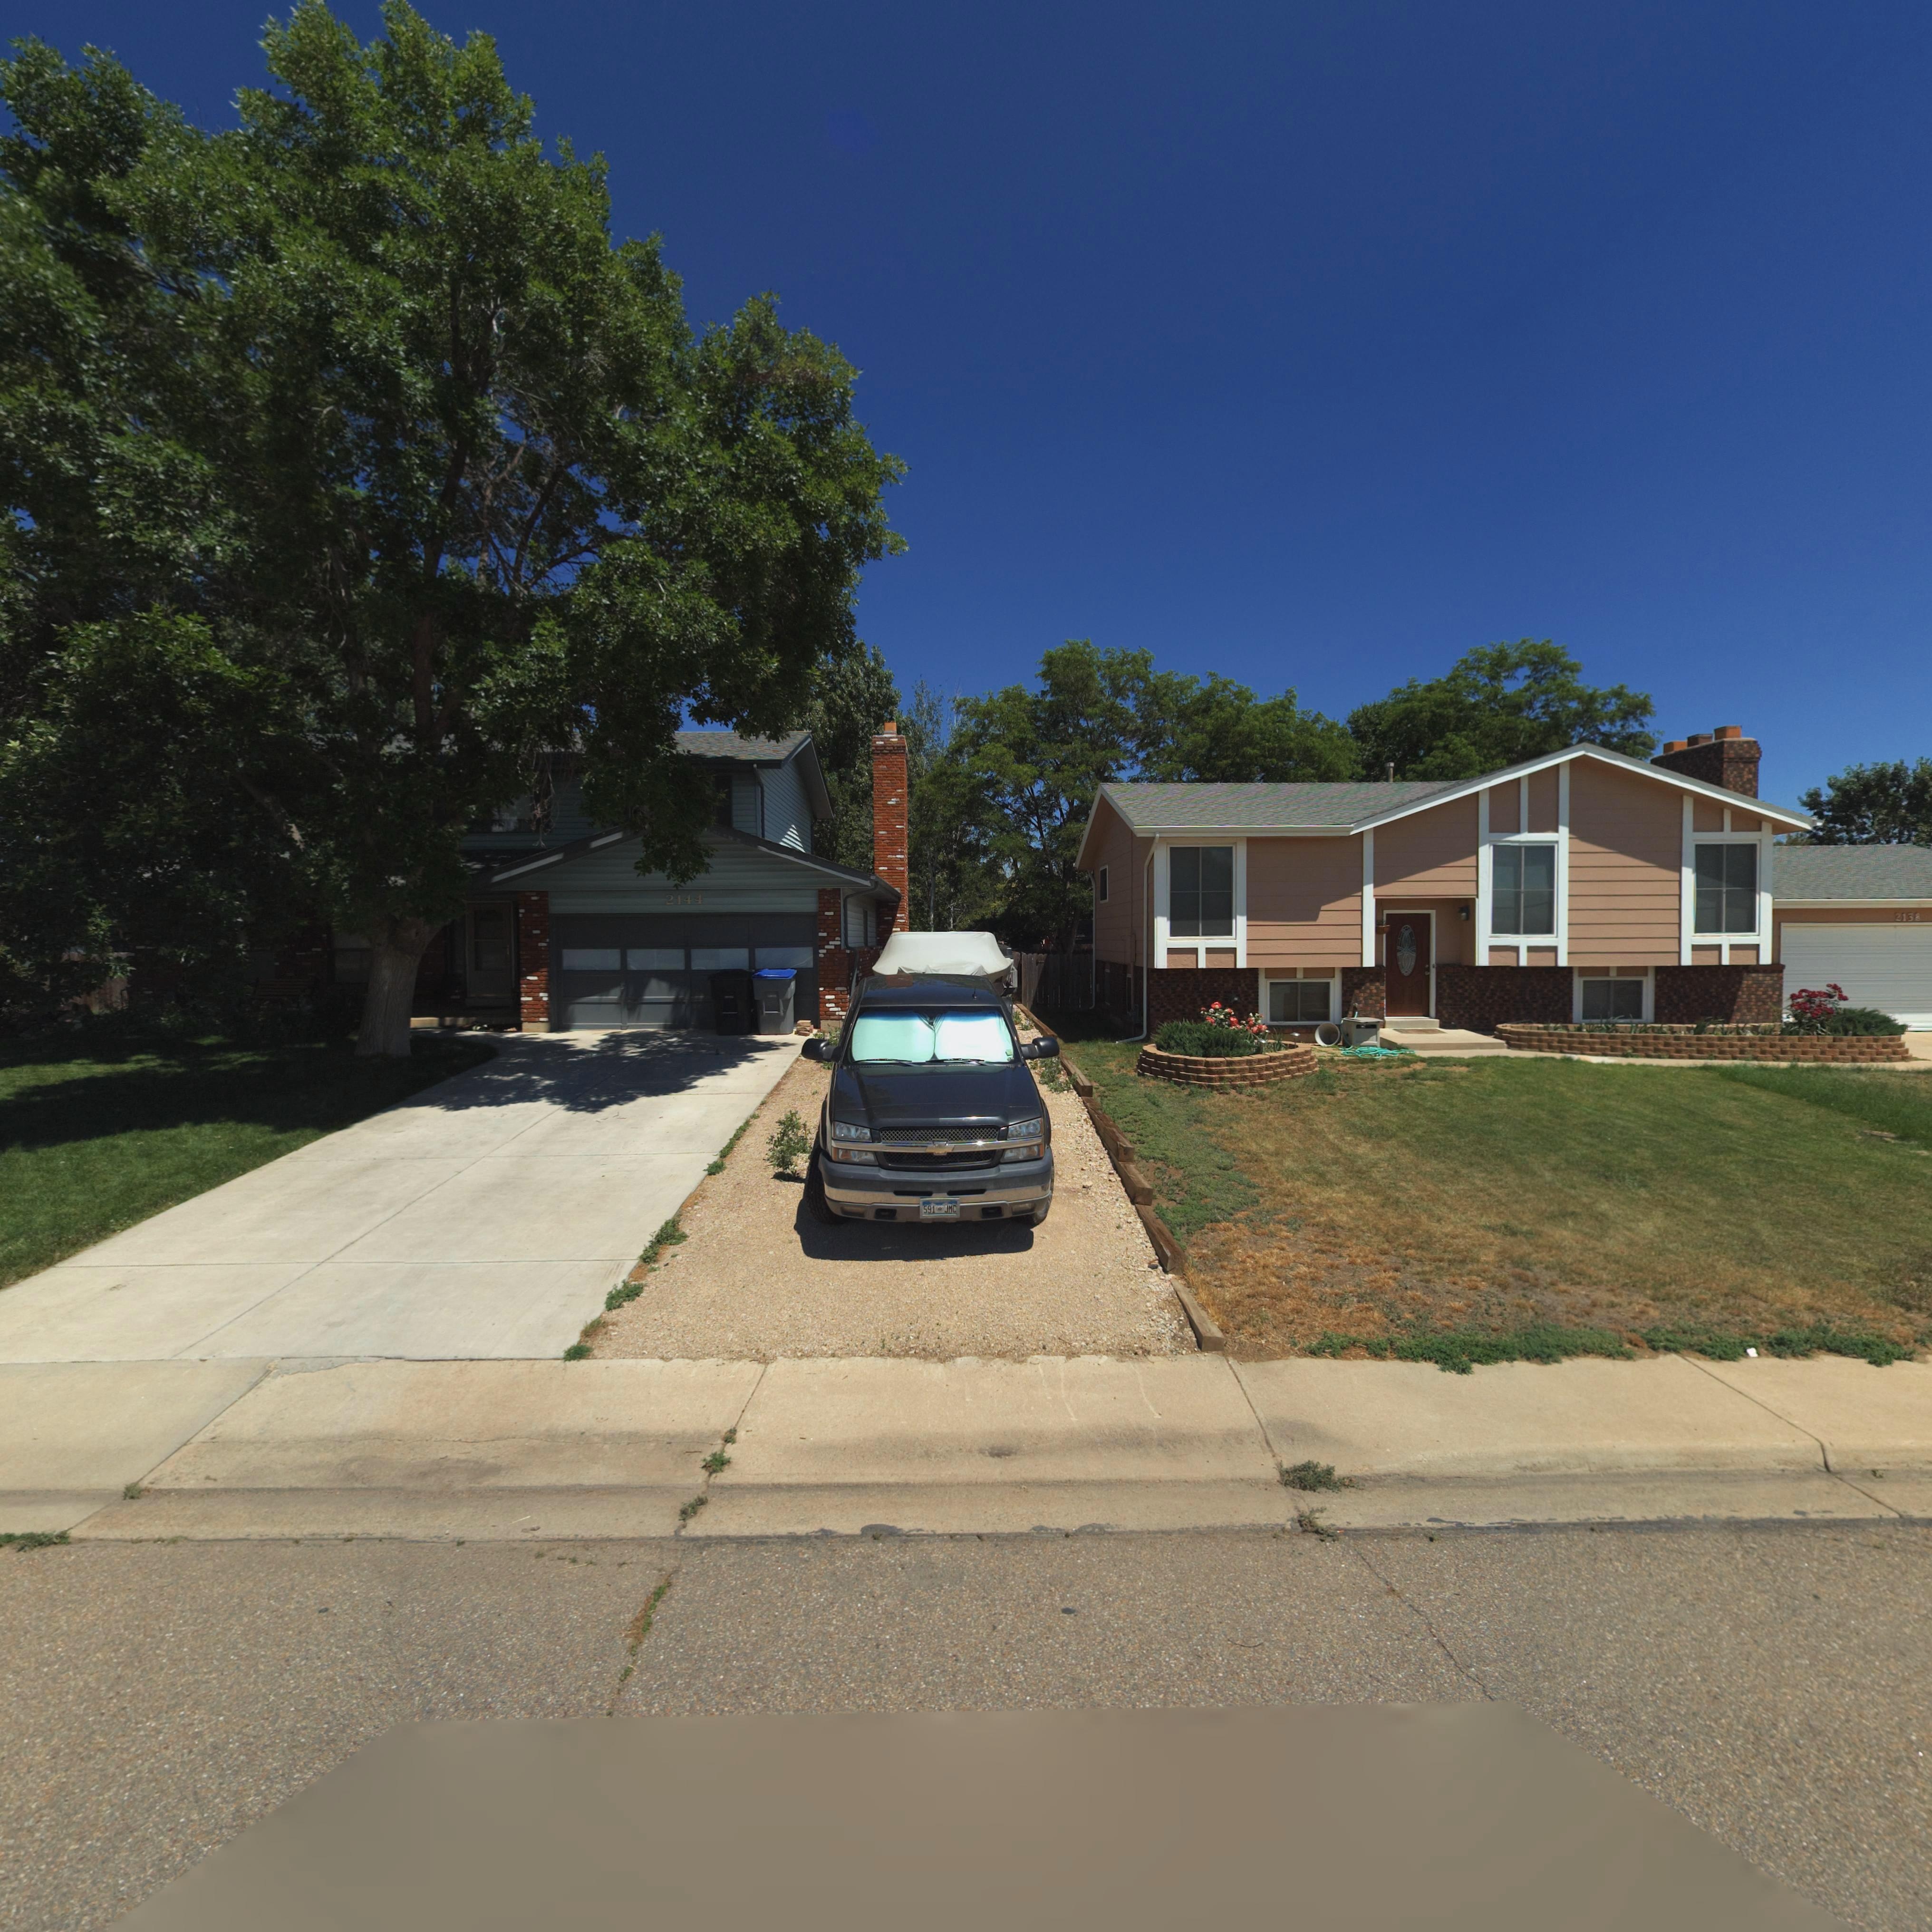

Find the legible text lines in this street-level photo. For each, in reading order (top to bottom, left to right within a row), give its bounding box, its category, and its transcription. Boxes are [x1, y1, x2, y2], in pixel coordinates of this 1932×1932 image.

[664, 894, 702, 905] StreetNumber: 2144
[1894, 912, 1922, 921] StreetNumber: 2138